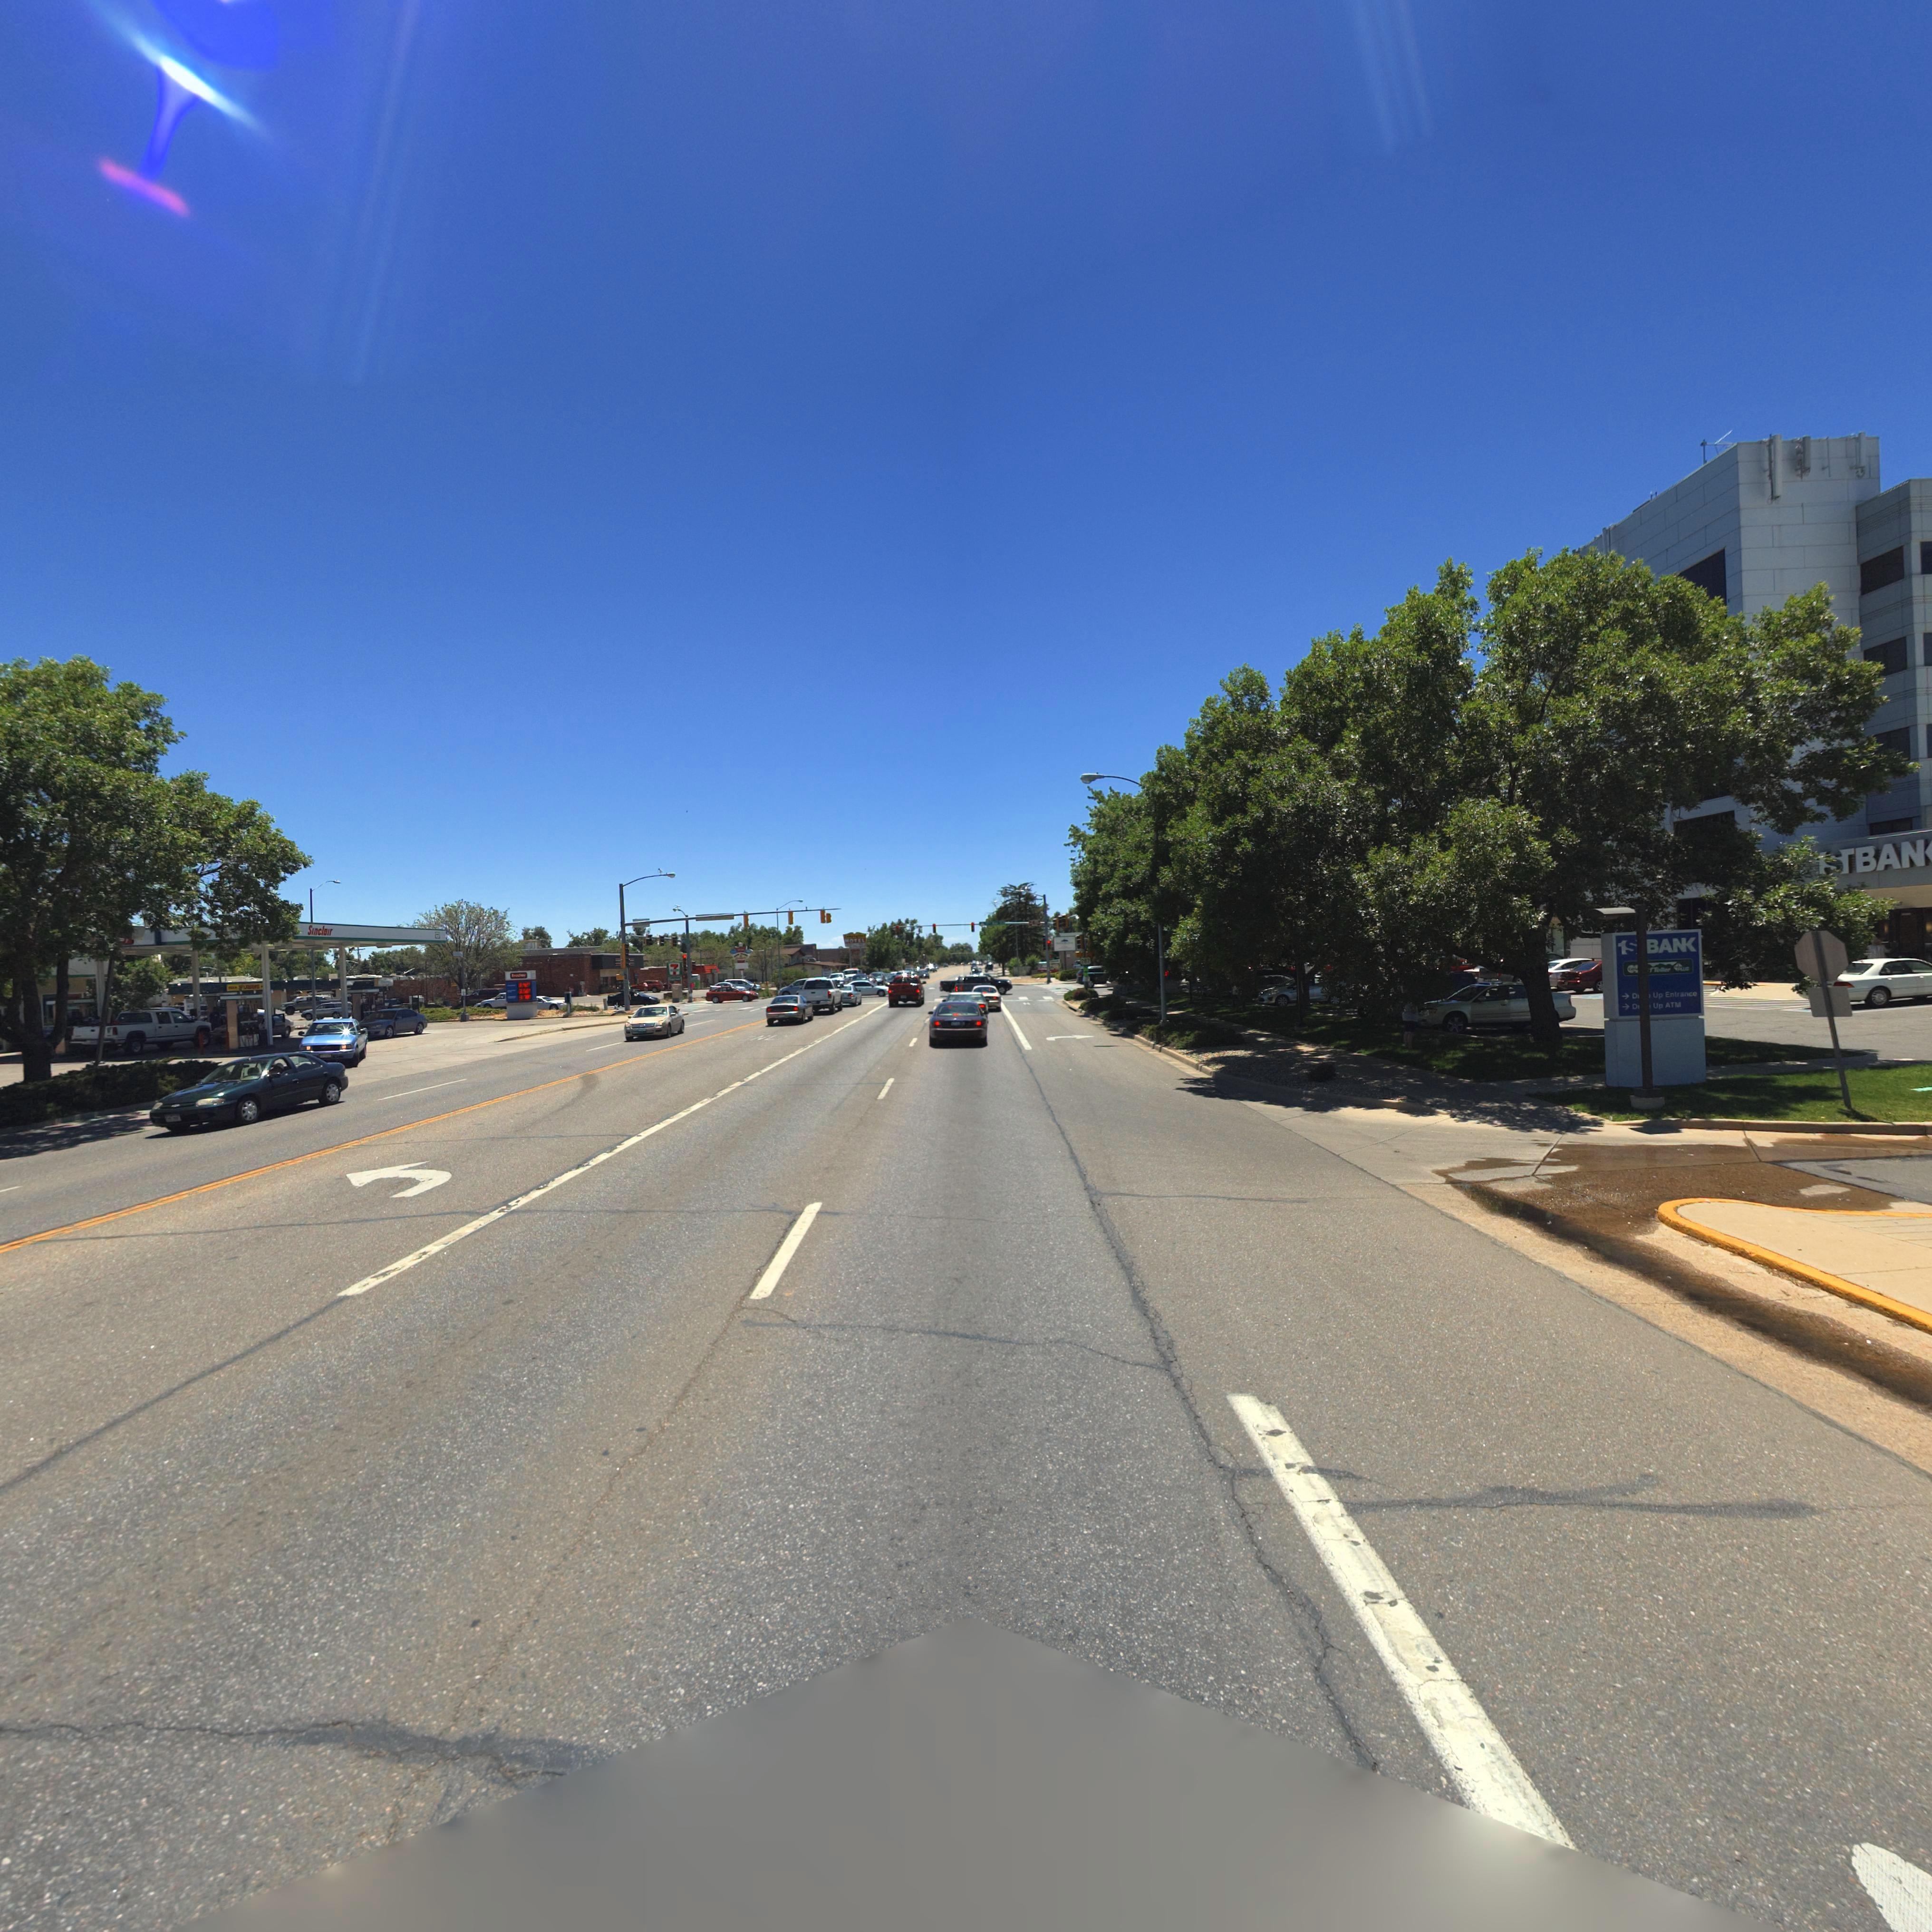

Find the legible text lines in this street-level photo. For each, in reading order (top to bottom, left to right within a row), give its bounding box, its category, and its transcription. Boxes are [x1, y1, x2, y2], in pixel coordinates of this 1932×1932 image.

[1813, 838, 1926, 877] BusinessName: 1S* BAN
[985, 921, 998, 925] StreetName: **** Ave
[307, 924, 333, 936] BusinessName: Sinclair
[844, 937, 865, 943] BusinessName: MOTEL
[844, 933, 866, 938] BusinessName: Con******
[1617, 937, 1697, 955] BusinessName: 1S*BA*K
[670, 964, 678, 975] BusinessName: 7
[511, 973, 525, 977] BusinessName: **adley